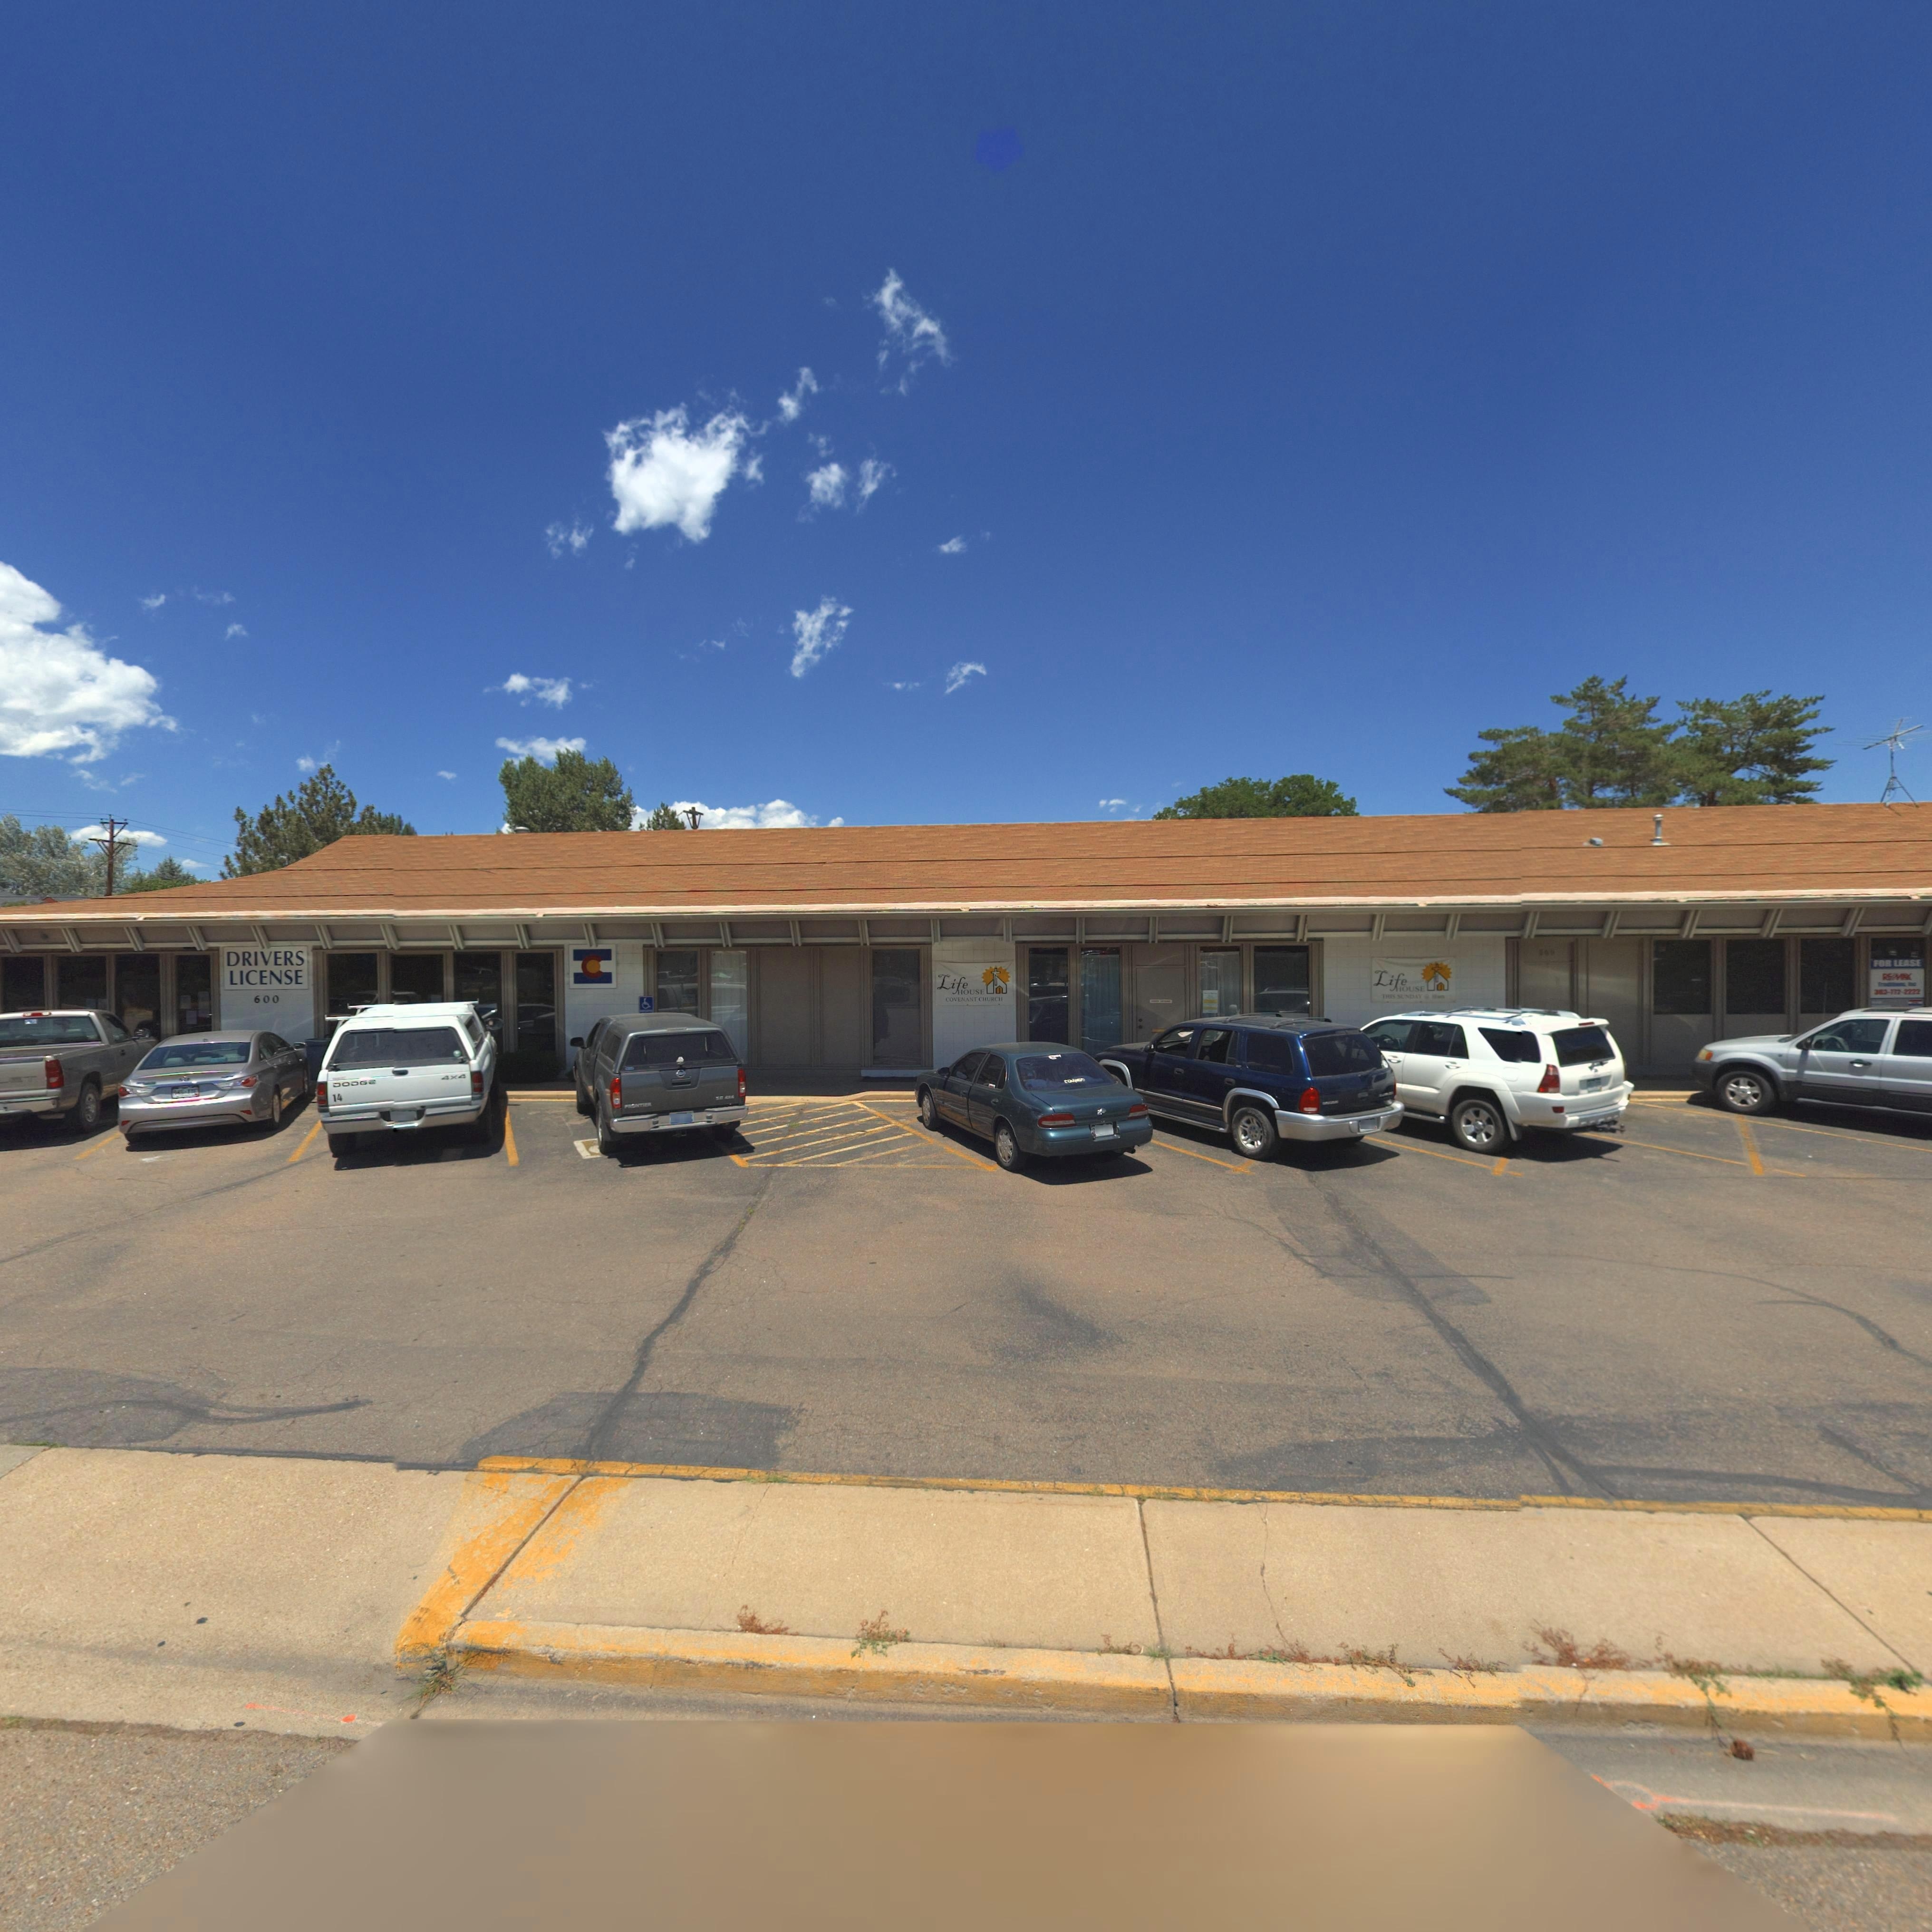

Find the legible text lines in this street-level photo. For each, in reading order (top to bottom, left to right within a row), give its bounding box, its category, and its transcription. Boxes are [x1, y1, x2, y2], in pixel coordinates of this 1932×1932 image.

[1539, 948, 1555, 955] StreetNumber: *00
[226, 949, 306, 966] BusinessName: DRIVERS
[229, 969, 304, 985] BusinessName: LICENSE
[937, 974, 968, 990] BusinessName: Life
[1373, 971, 1408, 986] BusinessName: Life
[1882, 973, 1912, 980] BusinessName: RE***X
[957, 988, 985, 995] BusinessName: HOUSE
[1396, 985, 1425, 992] BusinessName: HOUSE
[253, 994, 280, 1004] StreetNumber: 600
[945, 996, 1003, 1002] BusinessName: COVENANT CHURCH